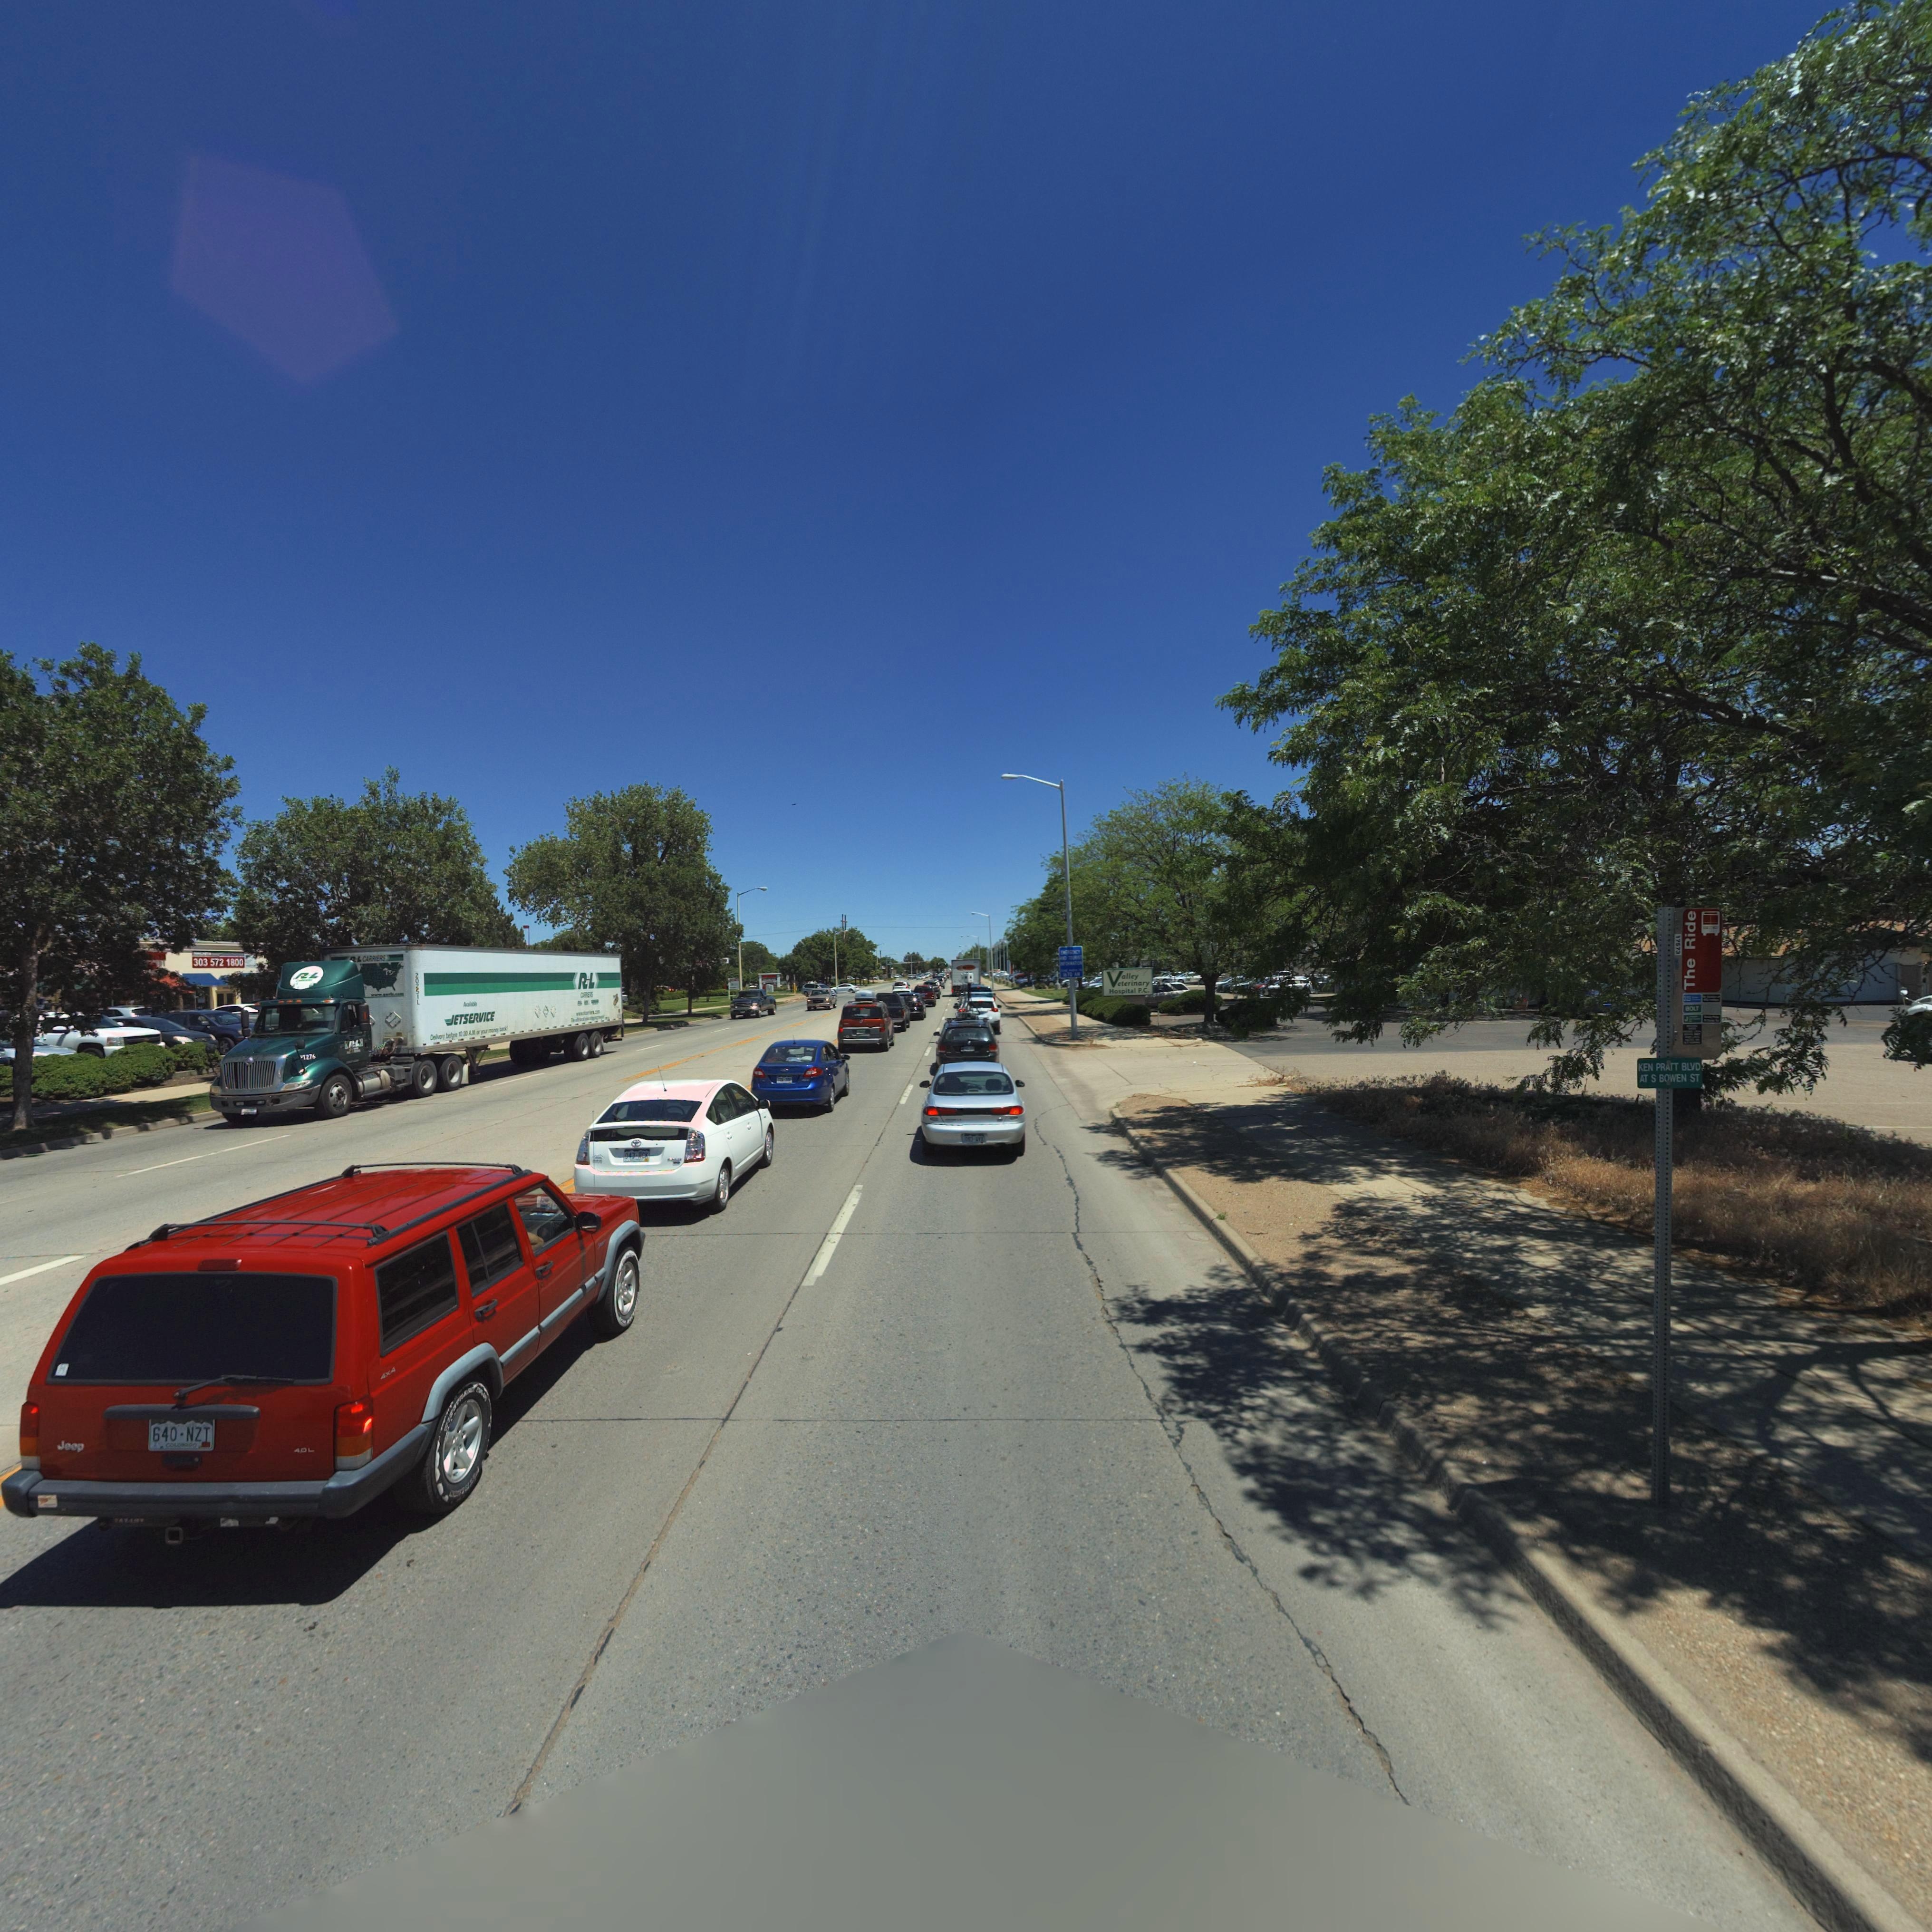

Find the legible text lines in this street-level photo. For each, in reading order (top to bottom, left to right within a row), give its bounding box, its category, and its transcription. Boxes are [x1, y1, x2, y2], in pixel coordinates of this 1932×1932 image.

[1106, 971, 1124, 988] BusinessName: V
[1121, 973, 1139, 981] BusinessName: alley
[1117, 980, 1150, 987] BusinessName: eterinary
[1109, 987, 1147, 995] BusinessName: Hospital P.C.
[1638, 1062, 1701, 1072] StreetName: KEN PRATT BLVD
[1650, 1073, 1700, 1083] StreetName: S BOWEN ST